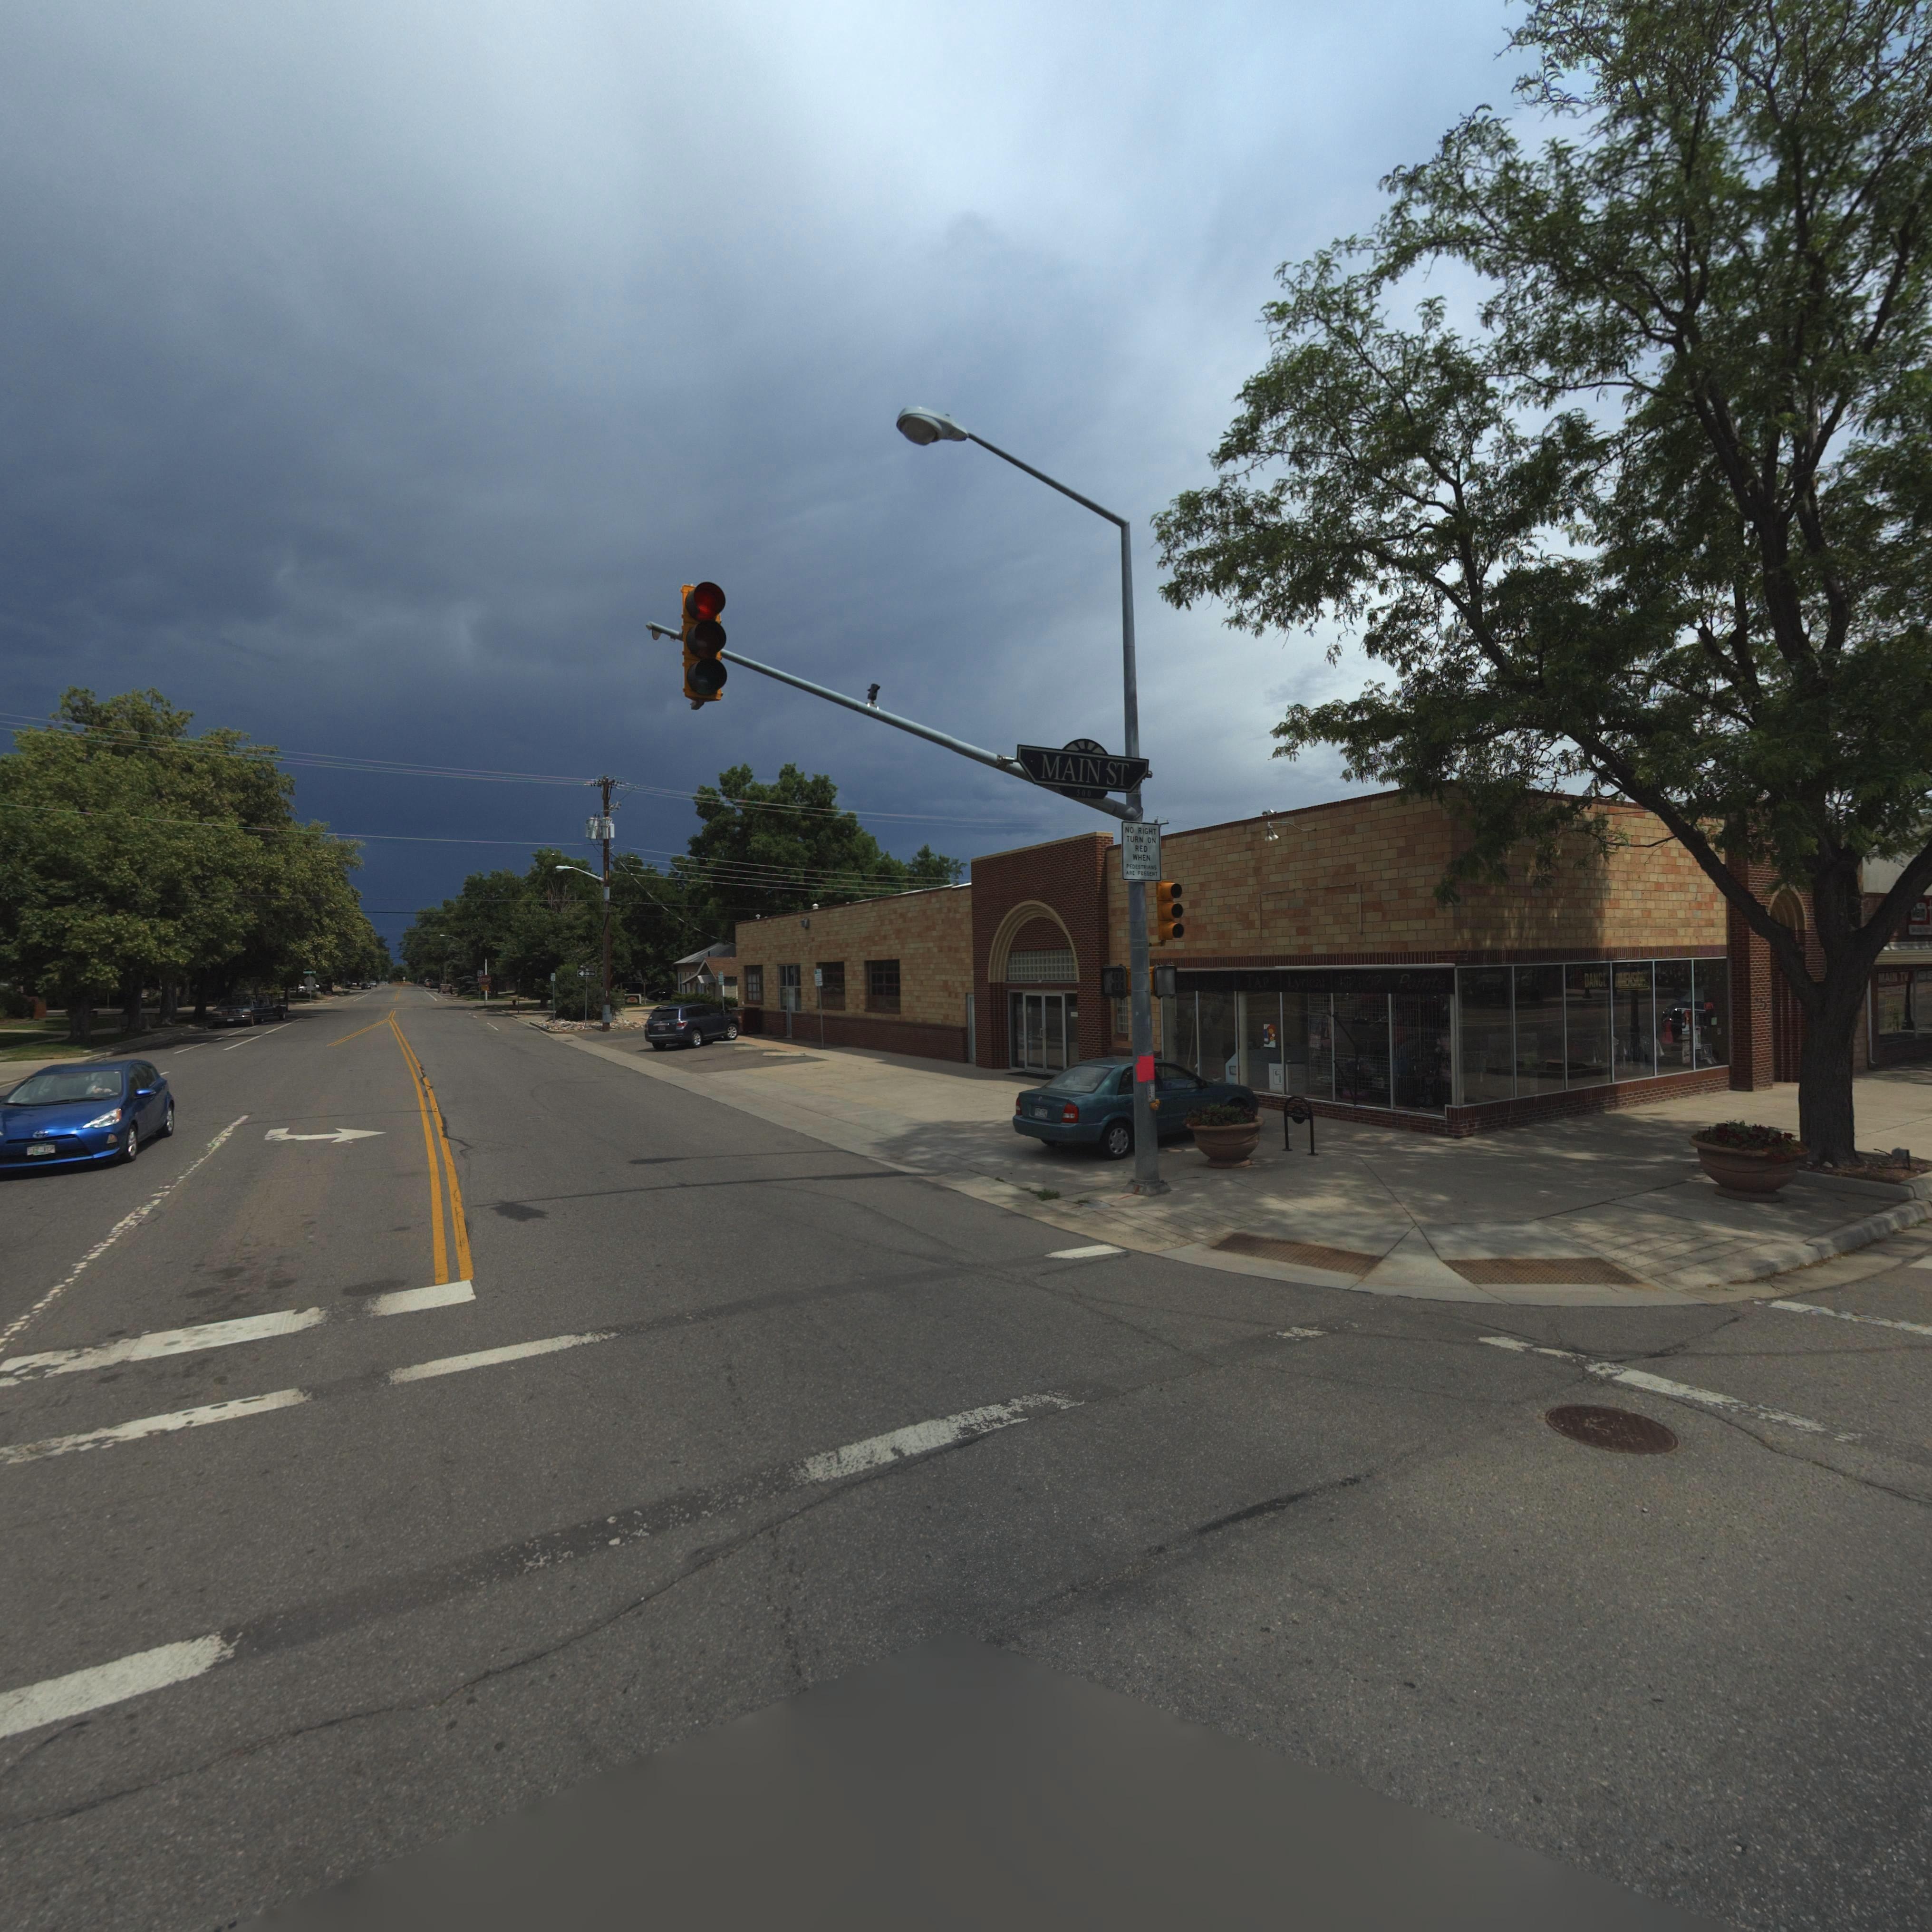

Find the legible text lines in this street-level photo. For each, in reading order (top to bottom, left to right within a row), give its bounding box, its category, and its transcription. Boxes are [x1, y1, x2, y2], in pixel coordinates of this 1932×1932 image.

[1040, 753, 1130, 787] StreetName: MAIN ST
[1076, 788, 1091, 797] StreetNumberRange: 500
[1583, 971, 1647, 988] BusinessName: DANCE DIMENSIONS